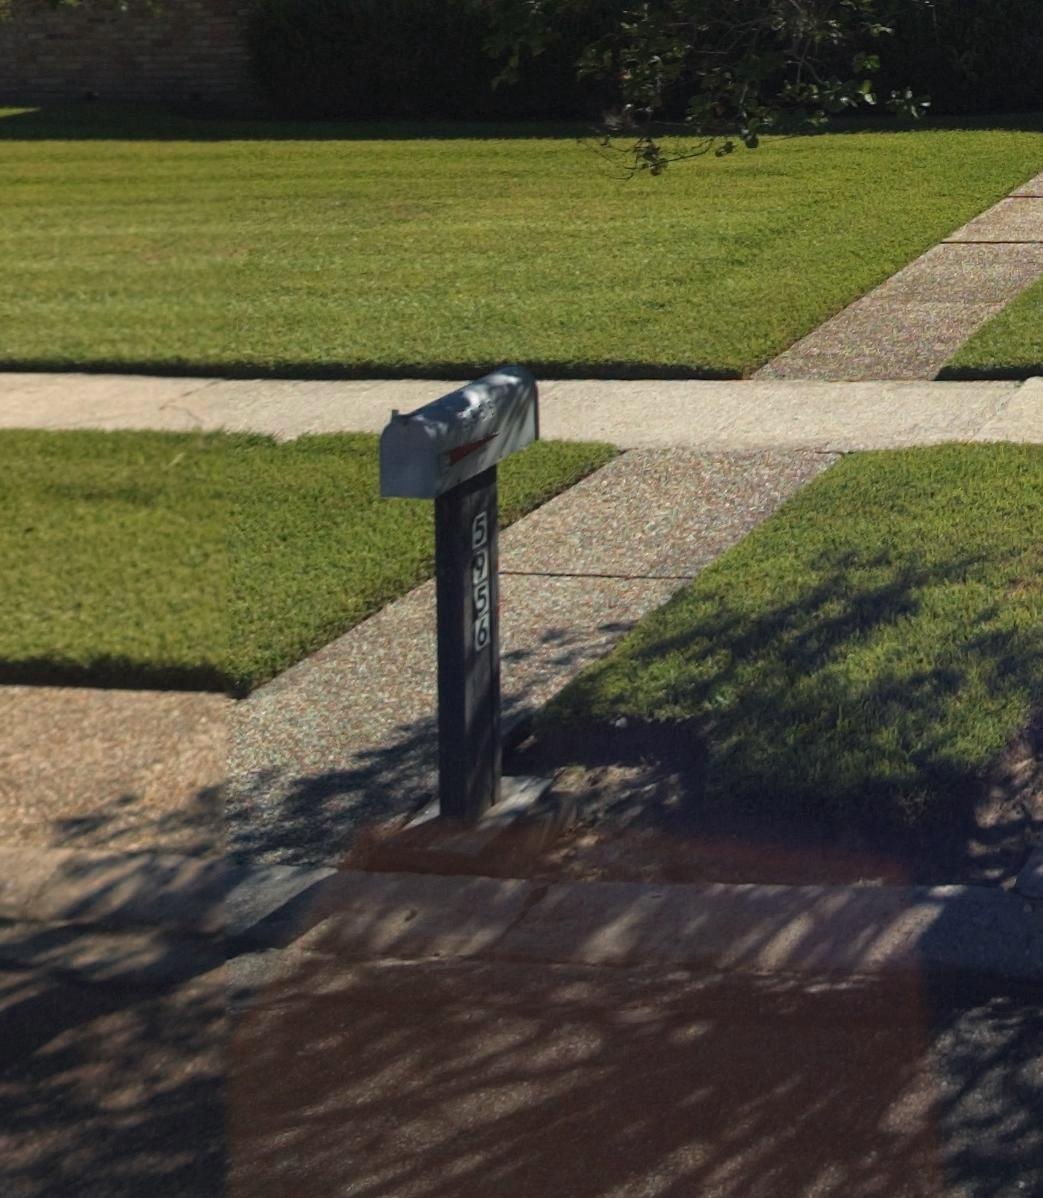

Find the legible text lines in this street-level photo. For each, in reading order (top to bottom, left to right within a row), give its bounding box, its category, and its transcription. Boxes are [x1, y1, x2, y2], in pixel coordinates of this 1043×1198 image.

[471, 507, 491, 653] StreetNumber: 5956